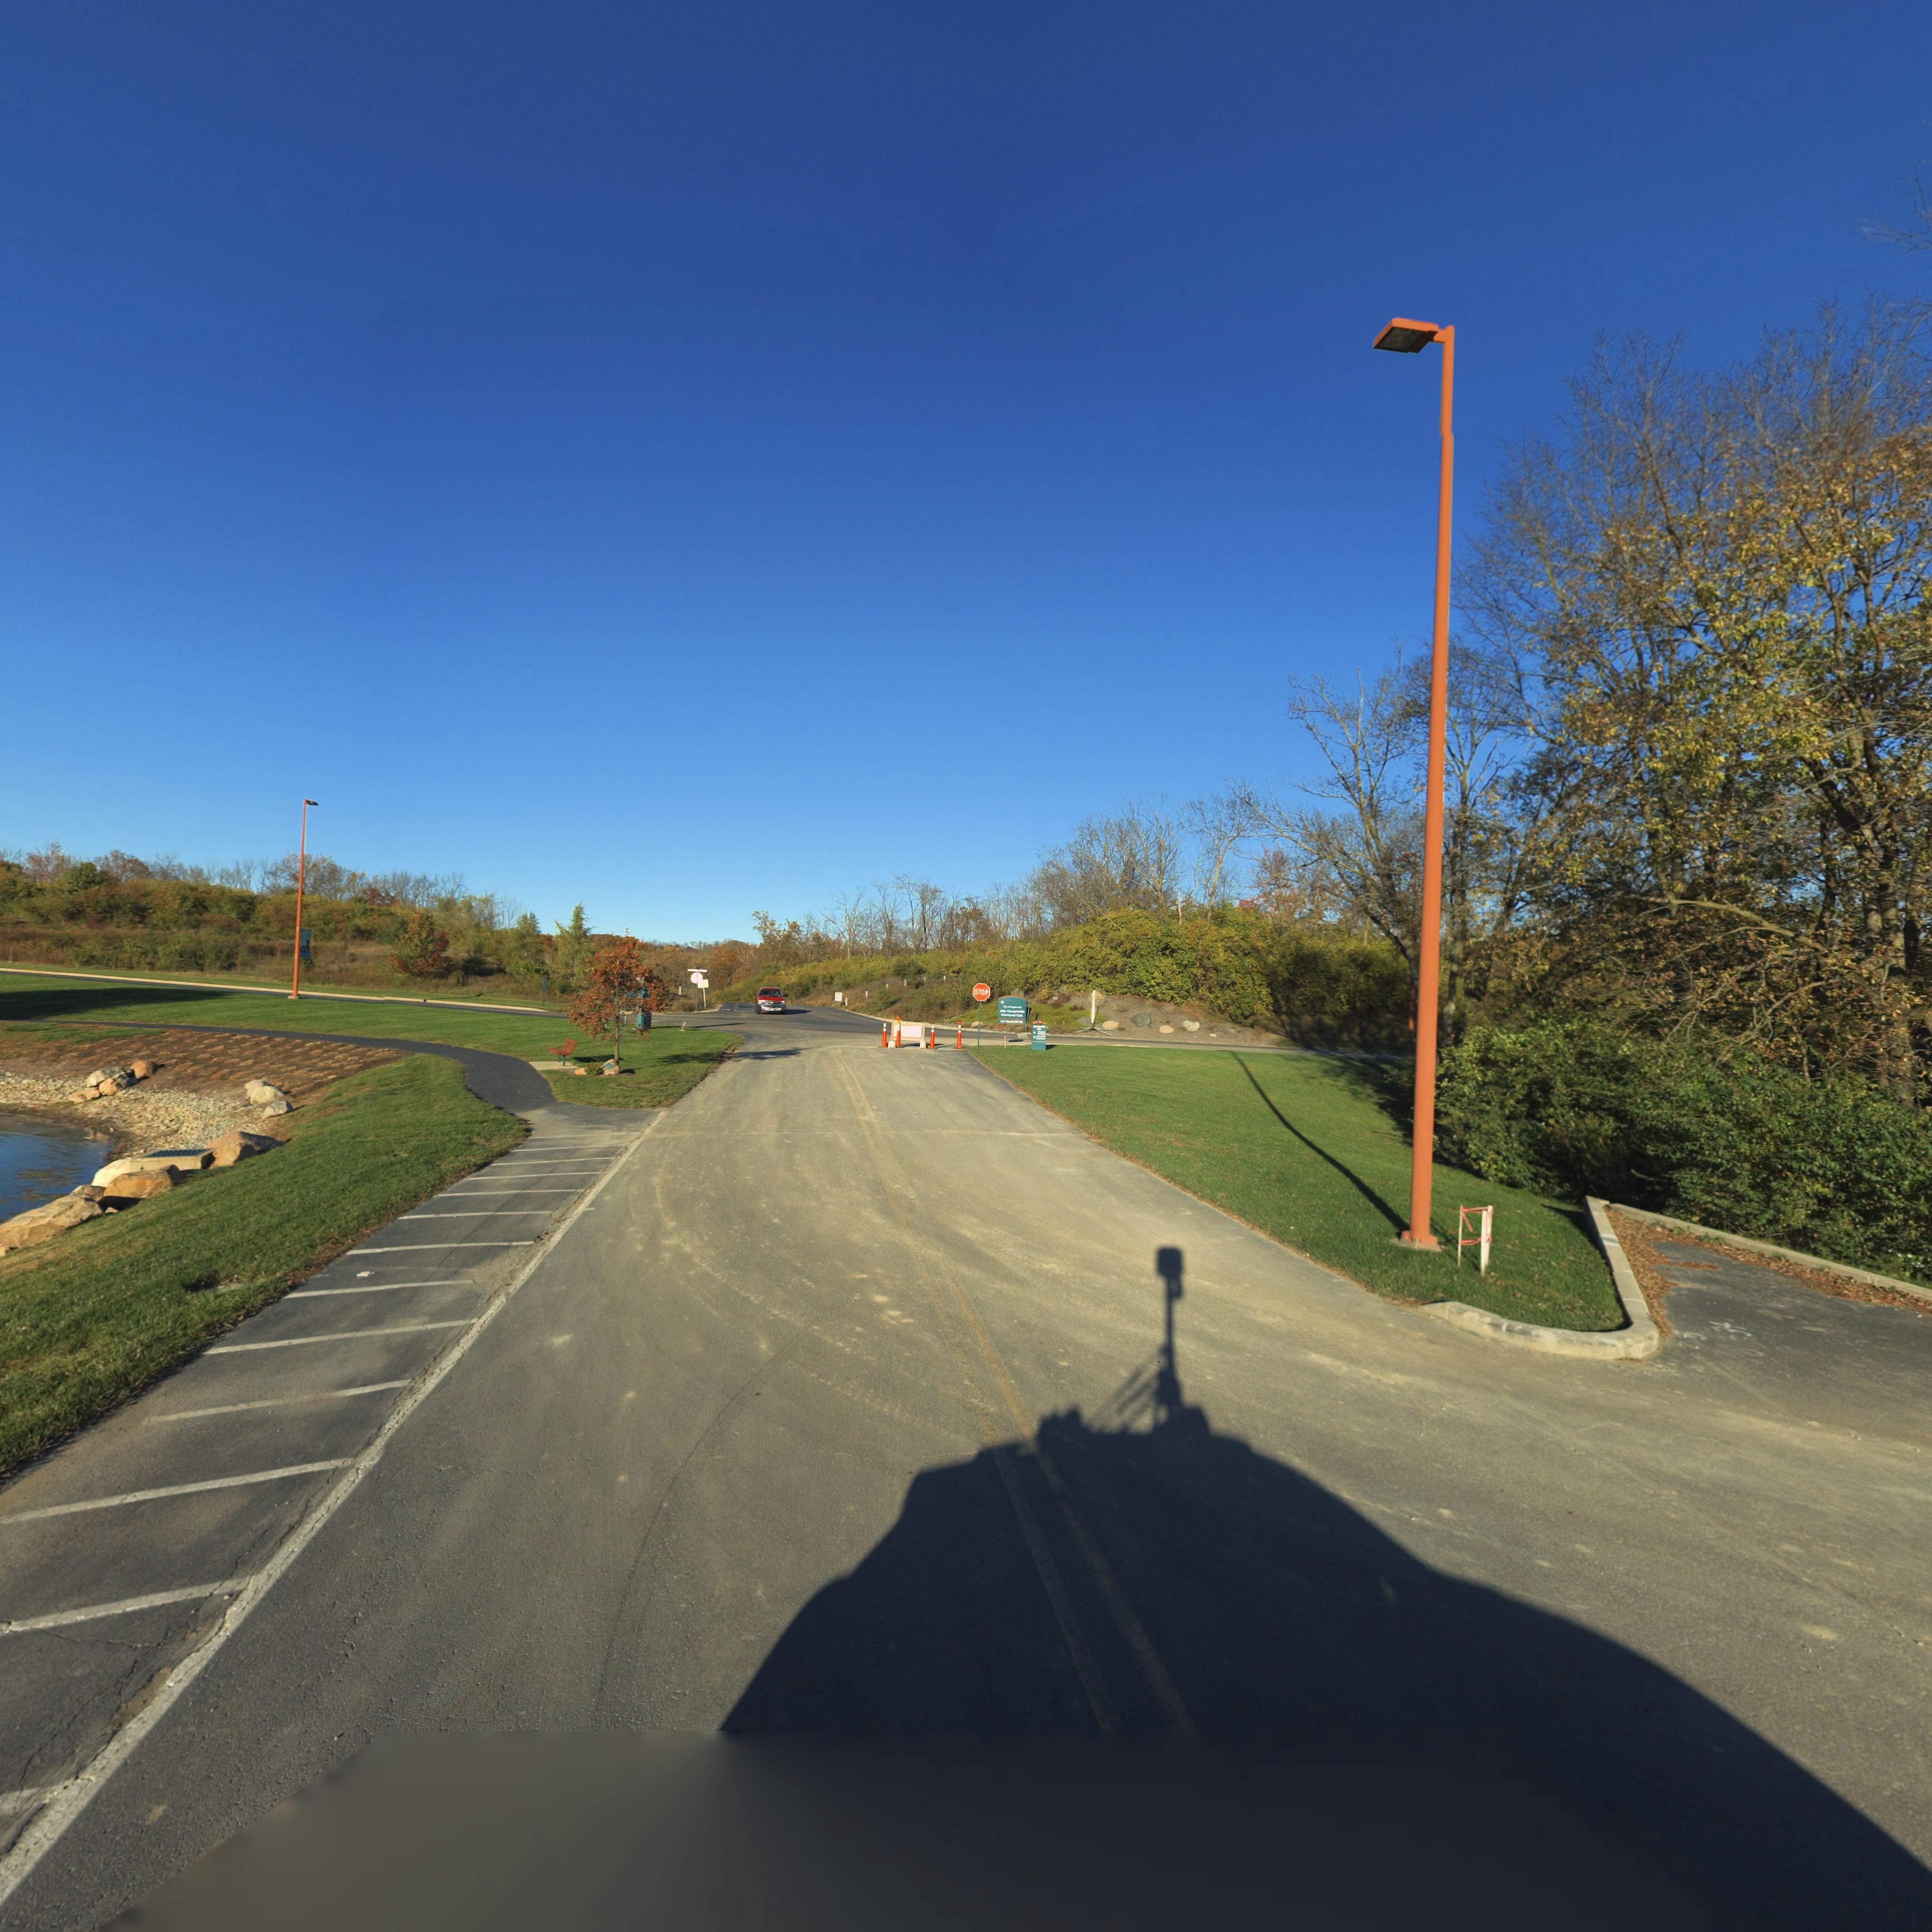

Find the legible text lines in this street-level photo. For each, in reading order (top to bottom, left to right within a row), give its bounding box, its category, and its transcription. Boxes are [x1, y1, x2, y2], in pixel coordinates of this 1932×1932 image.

[1000, 1020, 1006, 1023] StreetNumber: 137